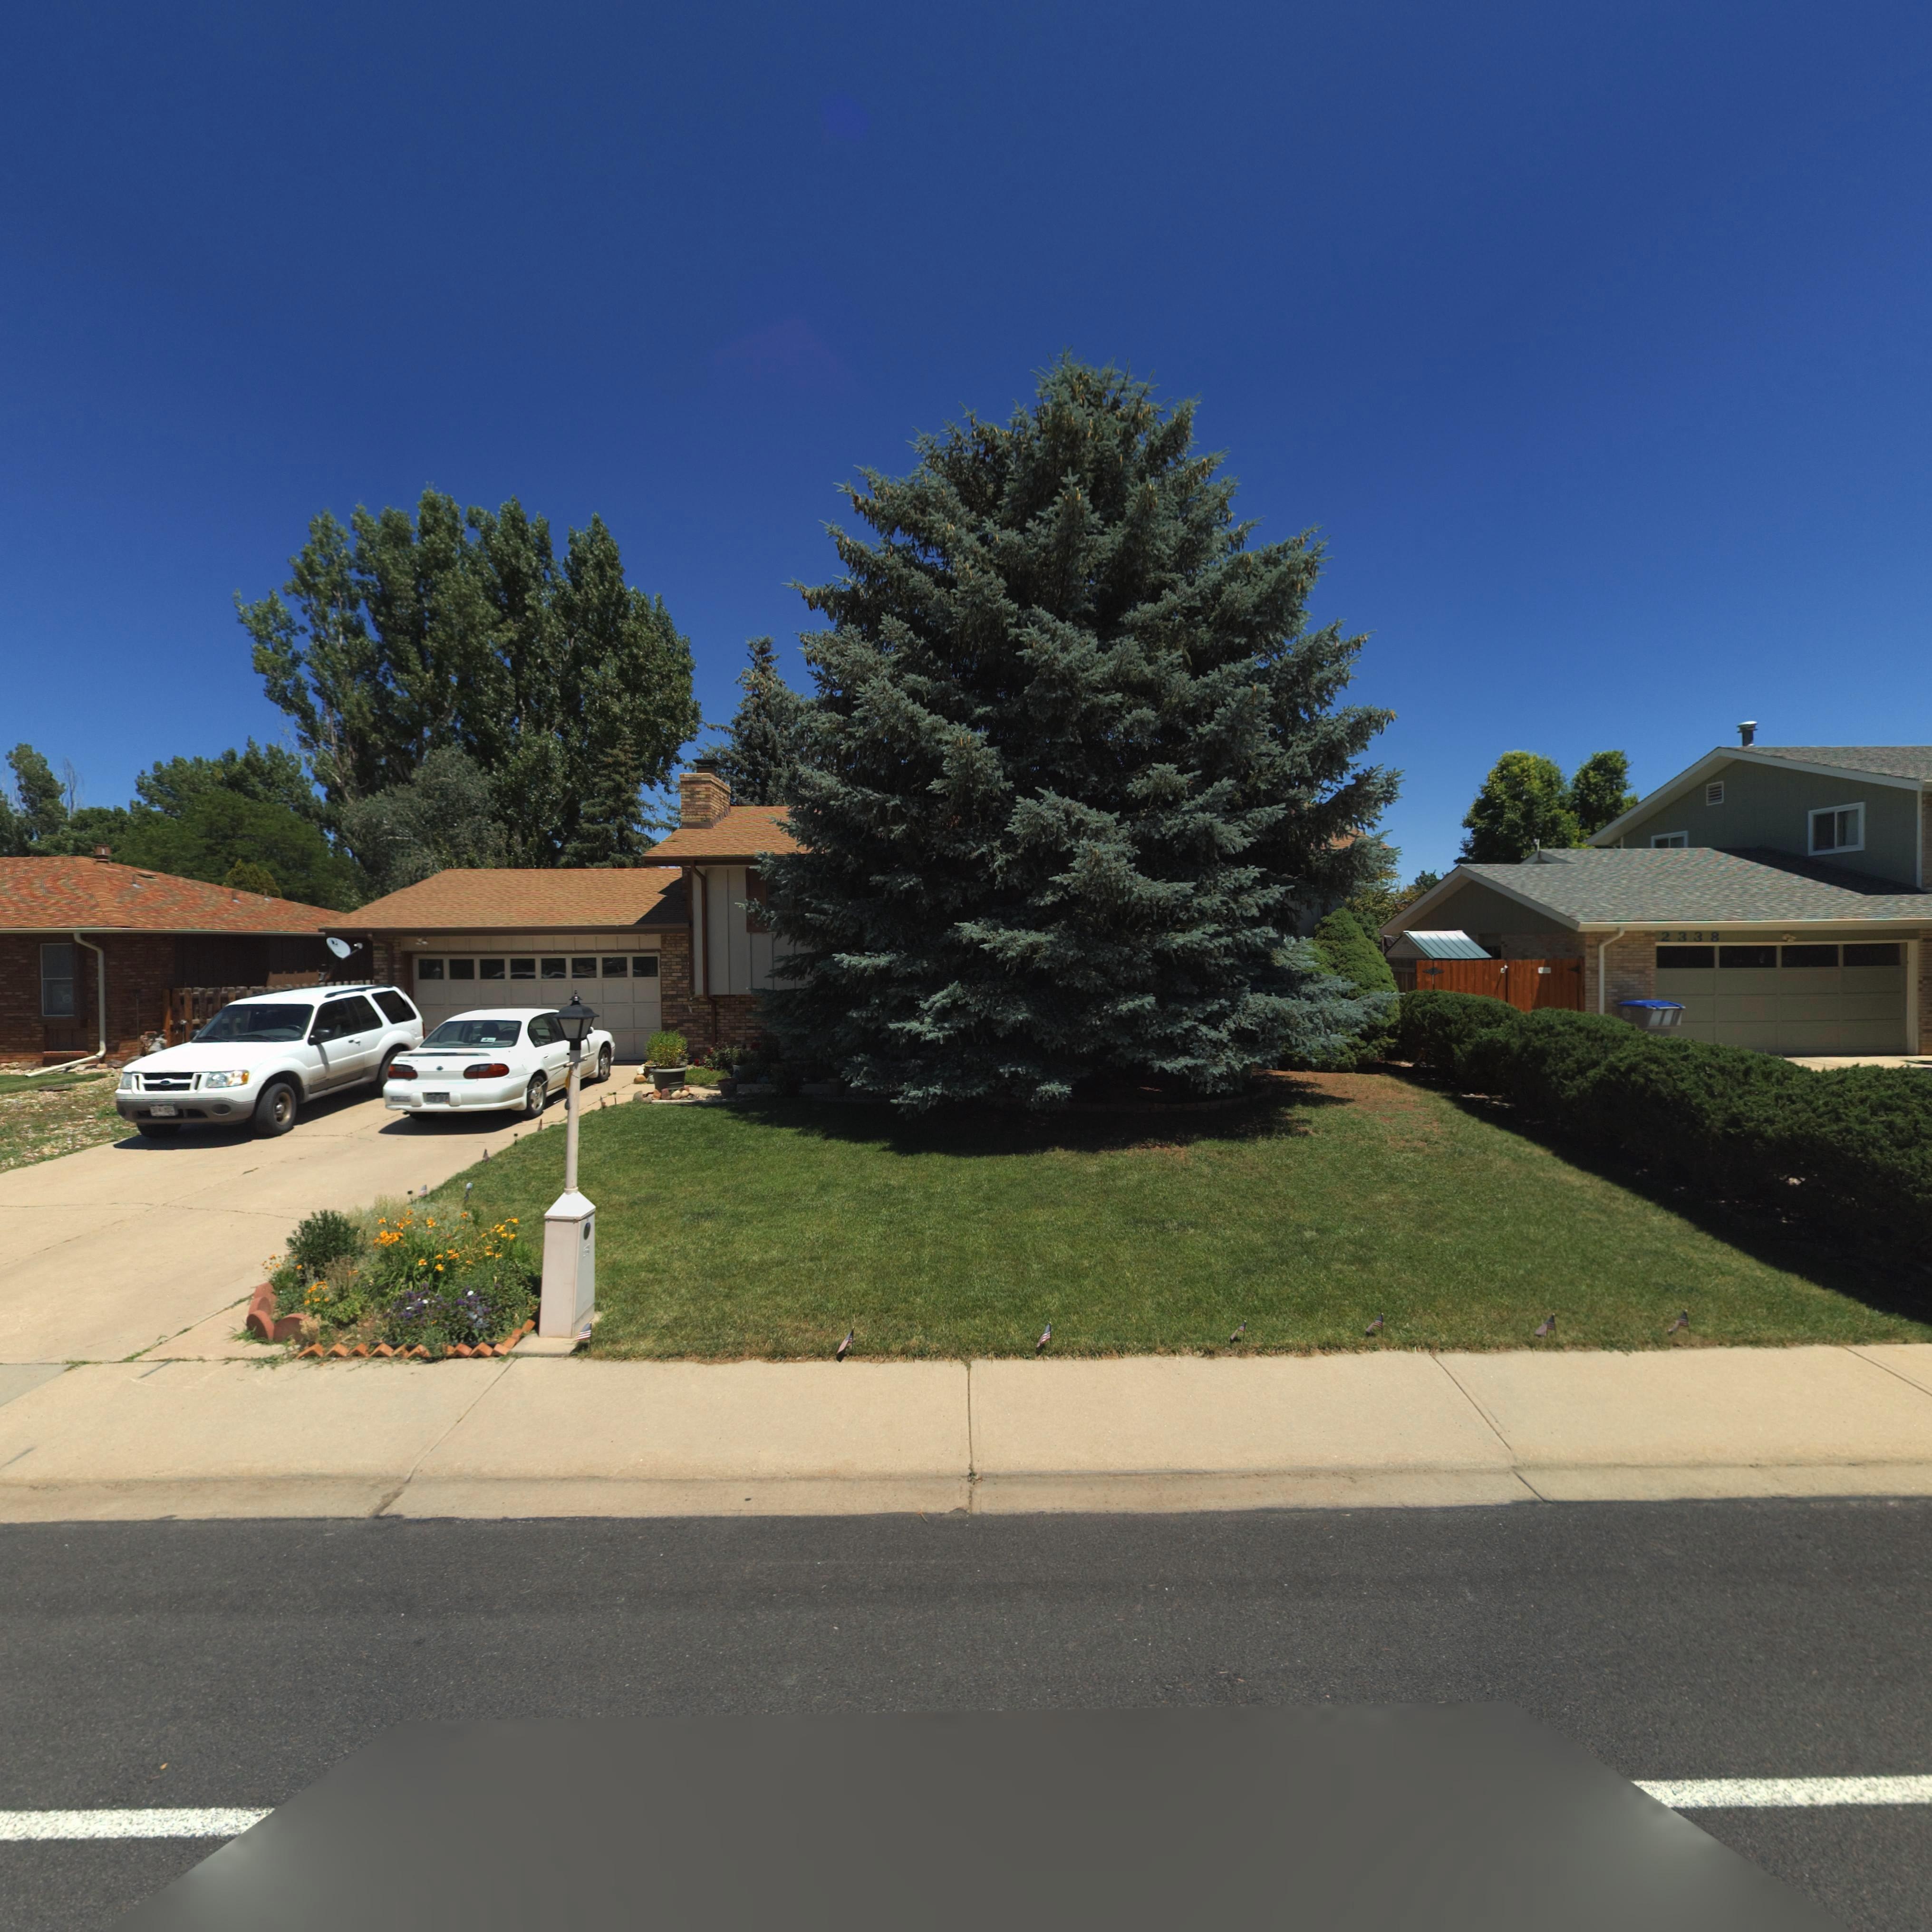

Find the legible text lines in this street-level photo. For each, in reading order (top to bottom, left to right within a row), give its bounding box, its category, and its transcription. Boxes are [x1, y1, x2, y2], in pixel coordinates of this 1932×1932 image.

[1661, 931, 1719, 941] StreetNumber: 2338